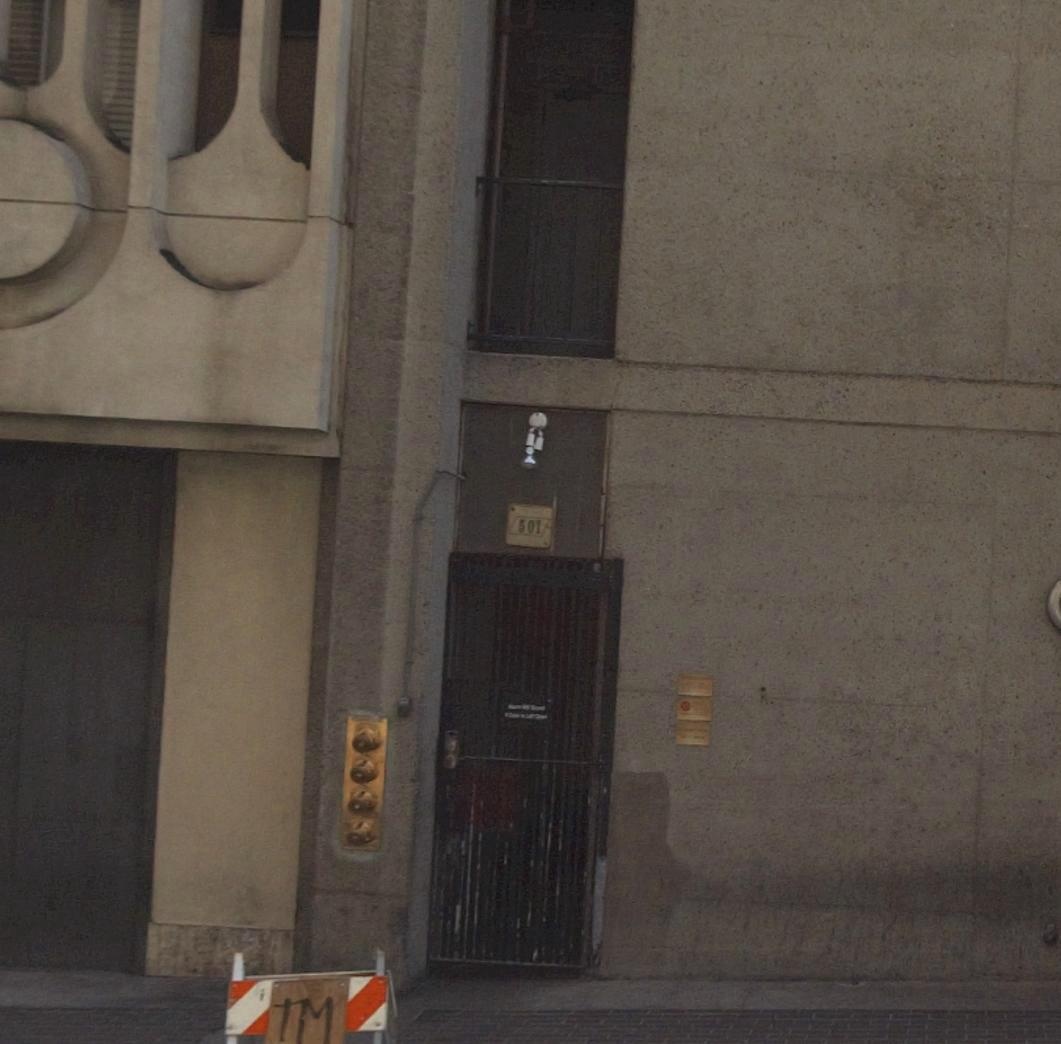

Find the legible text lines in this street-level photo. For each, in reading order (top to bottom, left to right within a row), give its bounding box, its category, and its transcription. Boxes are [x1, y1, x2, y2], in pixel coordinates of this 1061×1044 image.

[517, 518, 543, 535] StreetNumber: 501